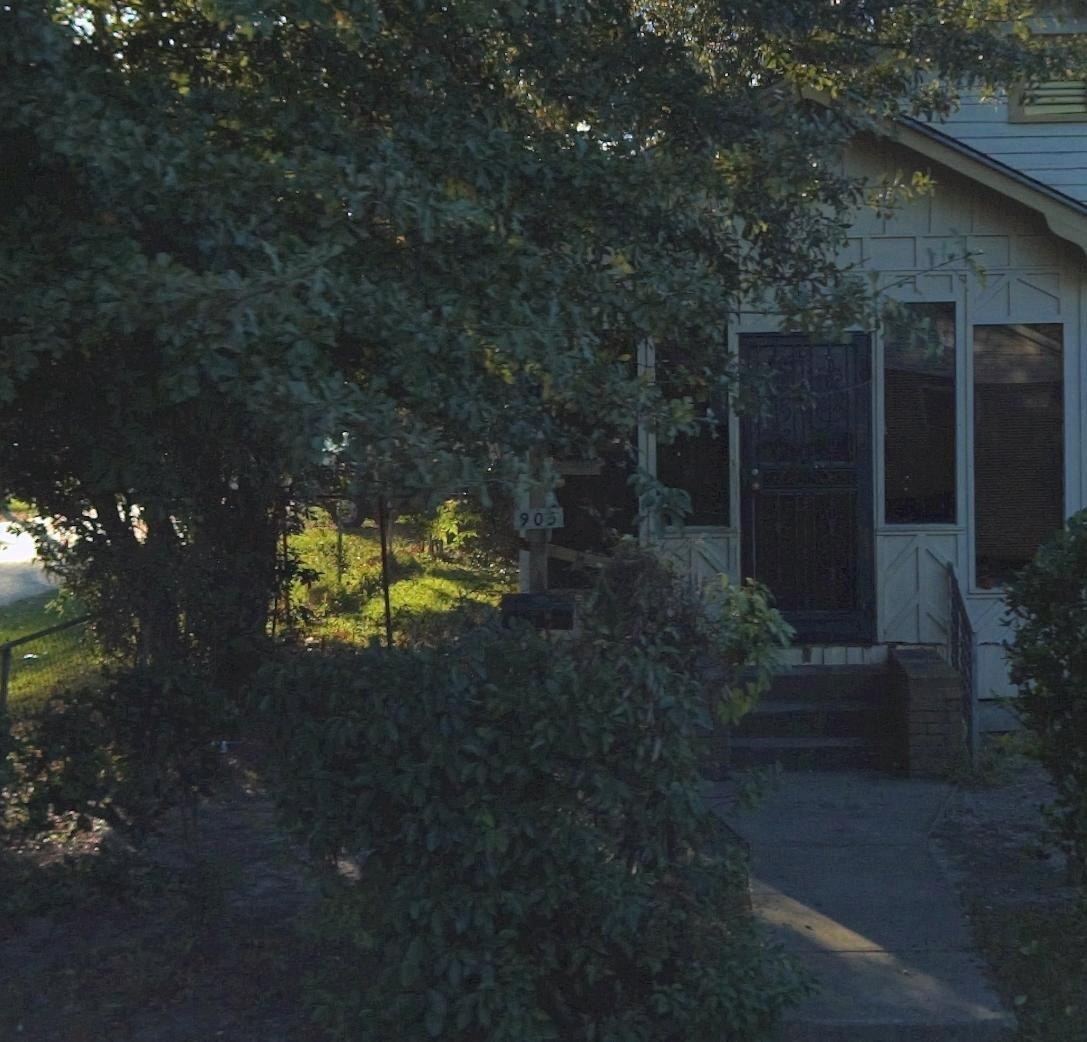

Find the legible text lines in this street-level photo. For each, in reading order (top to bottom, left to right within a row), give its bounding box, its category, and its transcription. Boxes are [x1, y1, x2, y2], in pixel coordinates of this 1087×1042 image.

[517, 510, 559, 529] StreetNumber: 90*